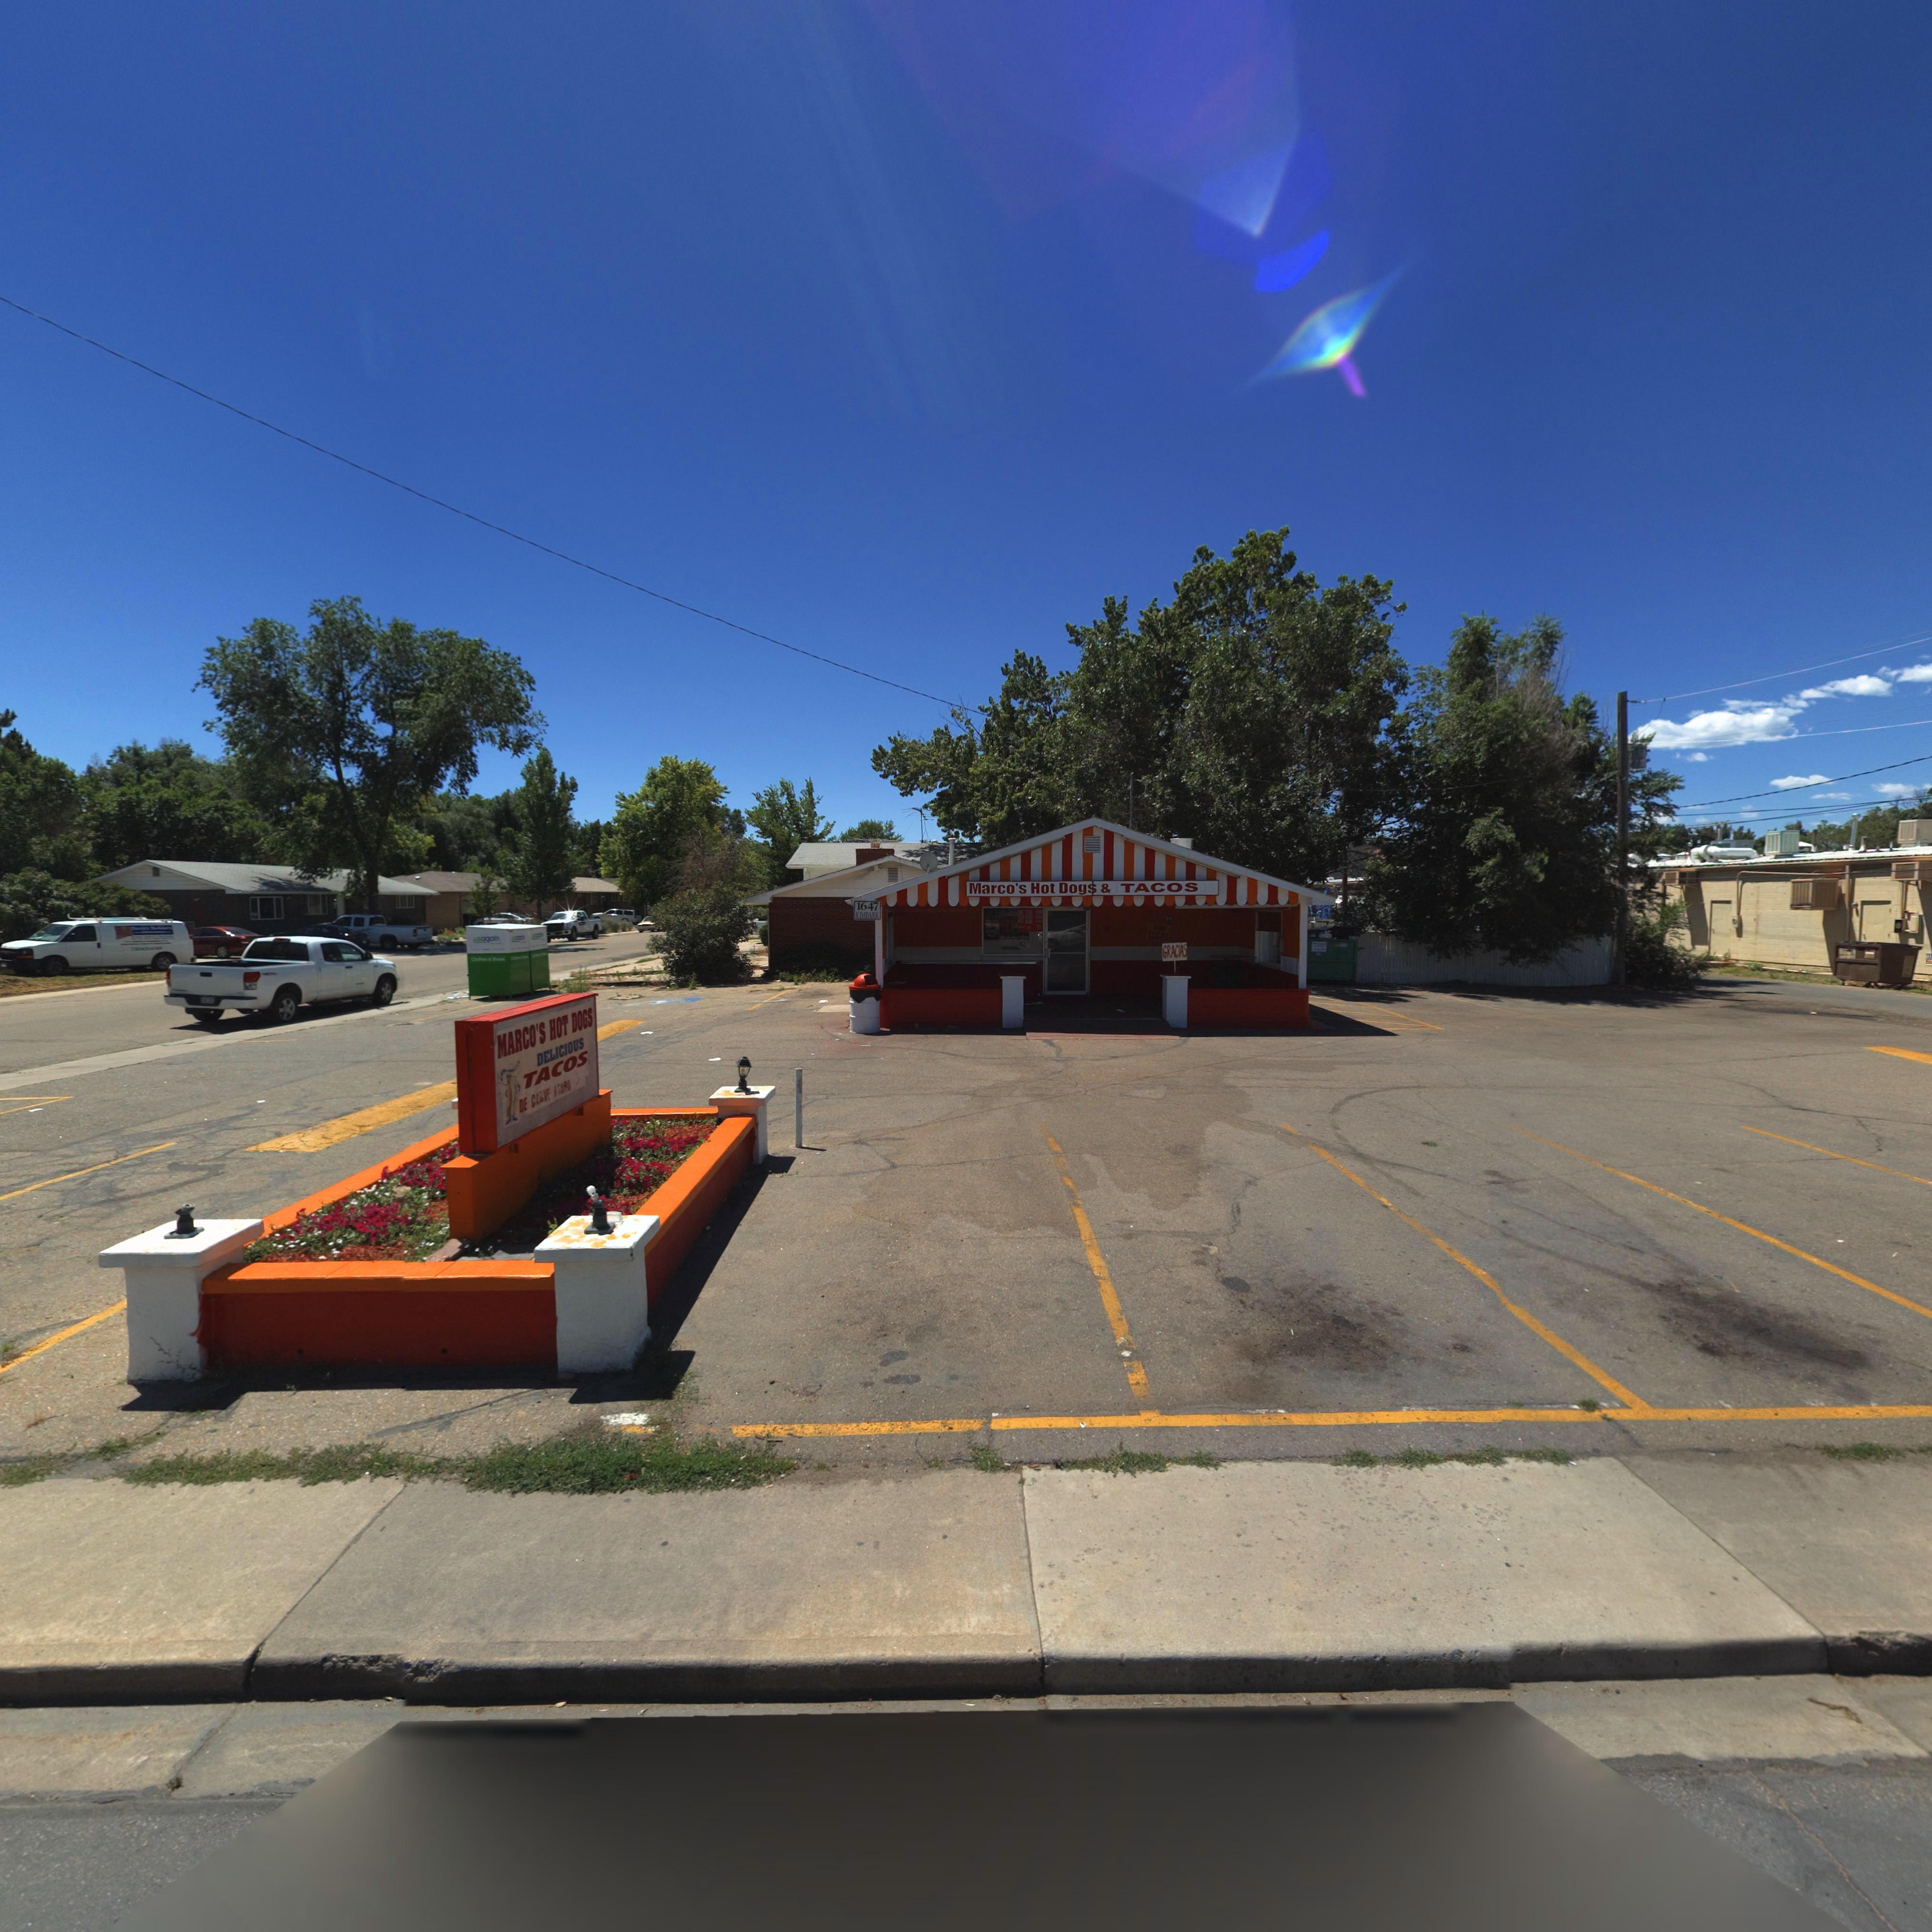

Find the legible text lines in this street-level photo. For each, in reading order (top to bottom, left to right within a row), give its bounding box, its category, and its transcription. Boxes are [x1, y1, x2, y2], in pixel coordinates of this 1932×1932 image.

[969, 882, 1199, 895] BusinessName: Marco's Hot Dogs & TACOS
[856, 911, 879, 919] StreetName: KIMBARK
[857, 901, 879, 911] StreetNumber: 1647
[496, 1006, 593, 1060] BusinessName: MARCO'S HOT DOGS
[536, 1036, 584, 1067] BusinessName: DELICIOUS
[523, 1049, 588, 1090] BusinessName: TACOS